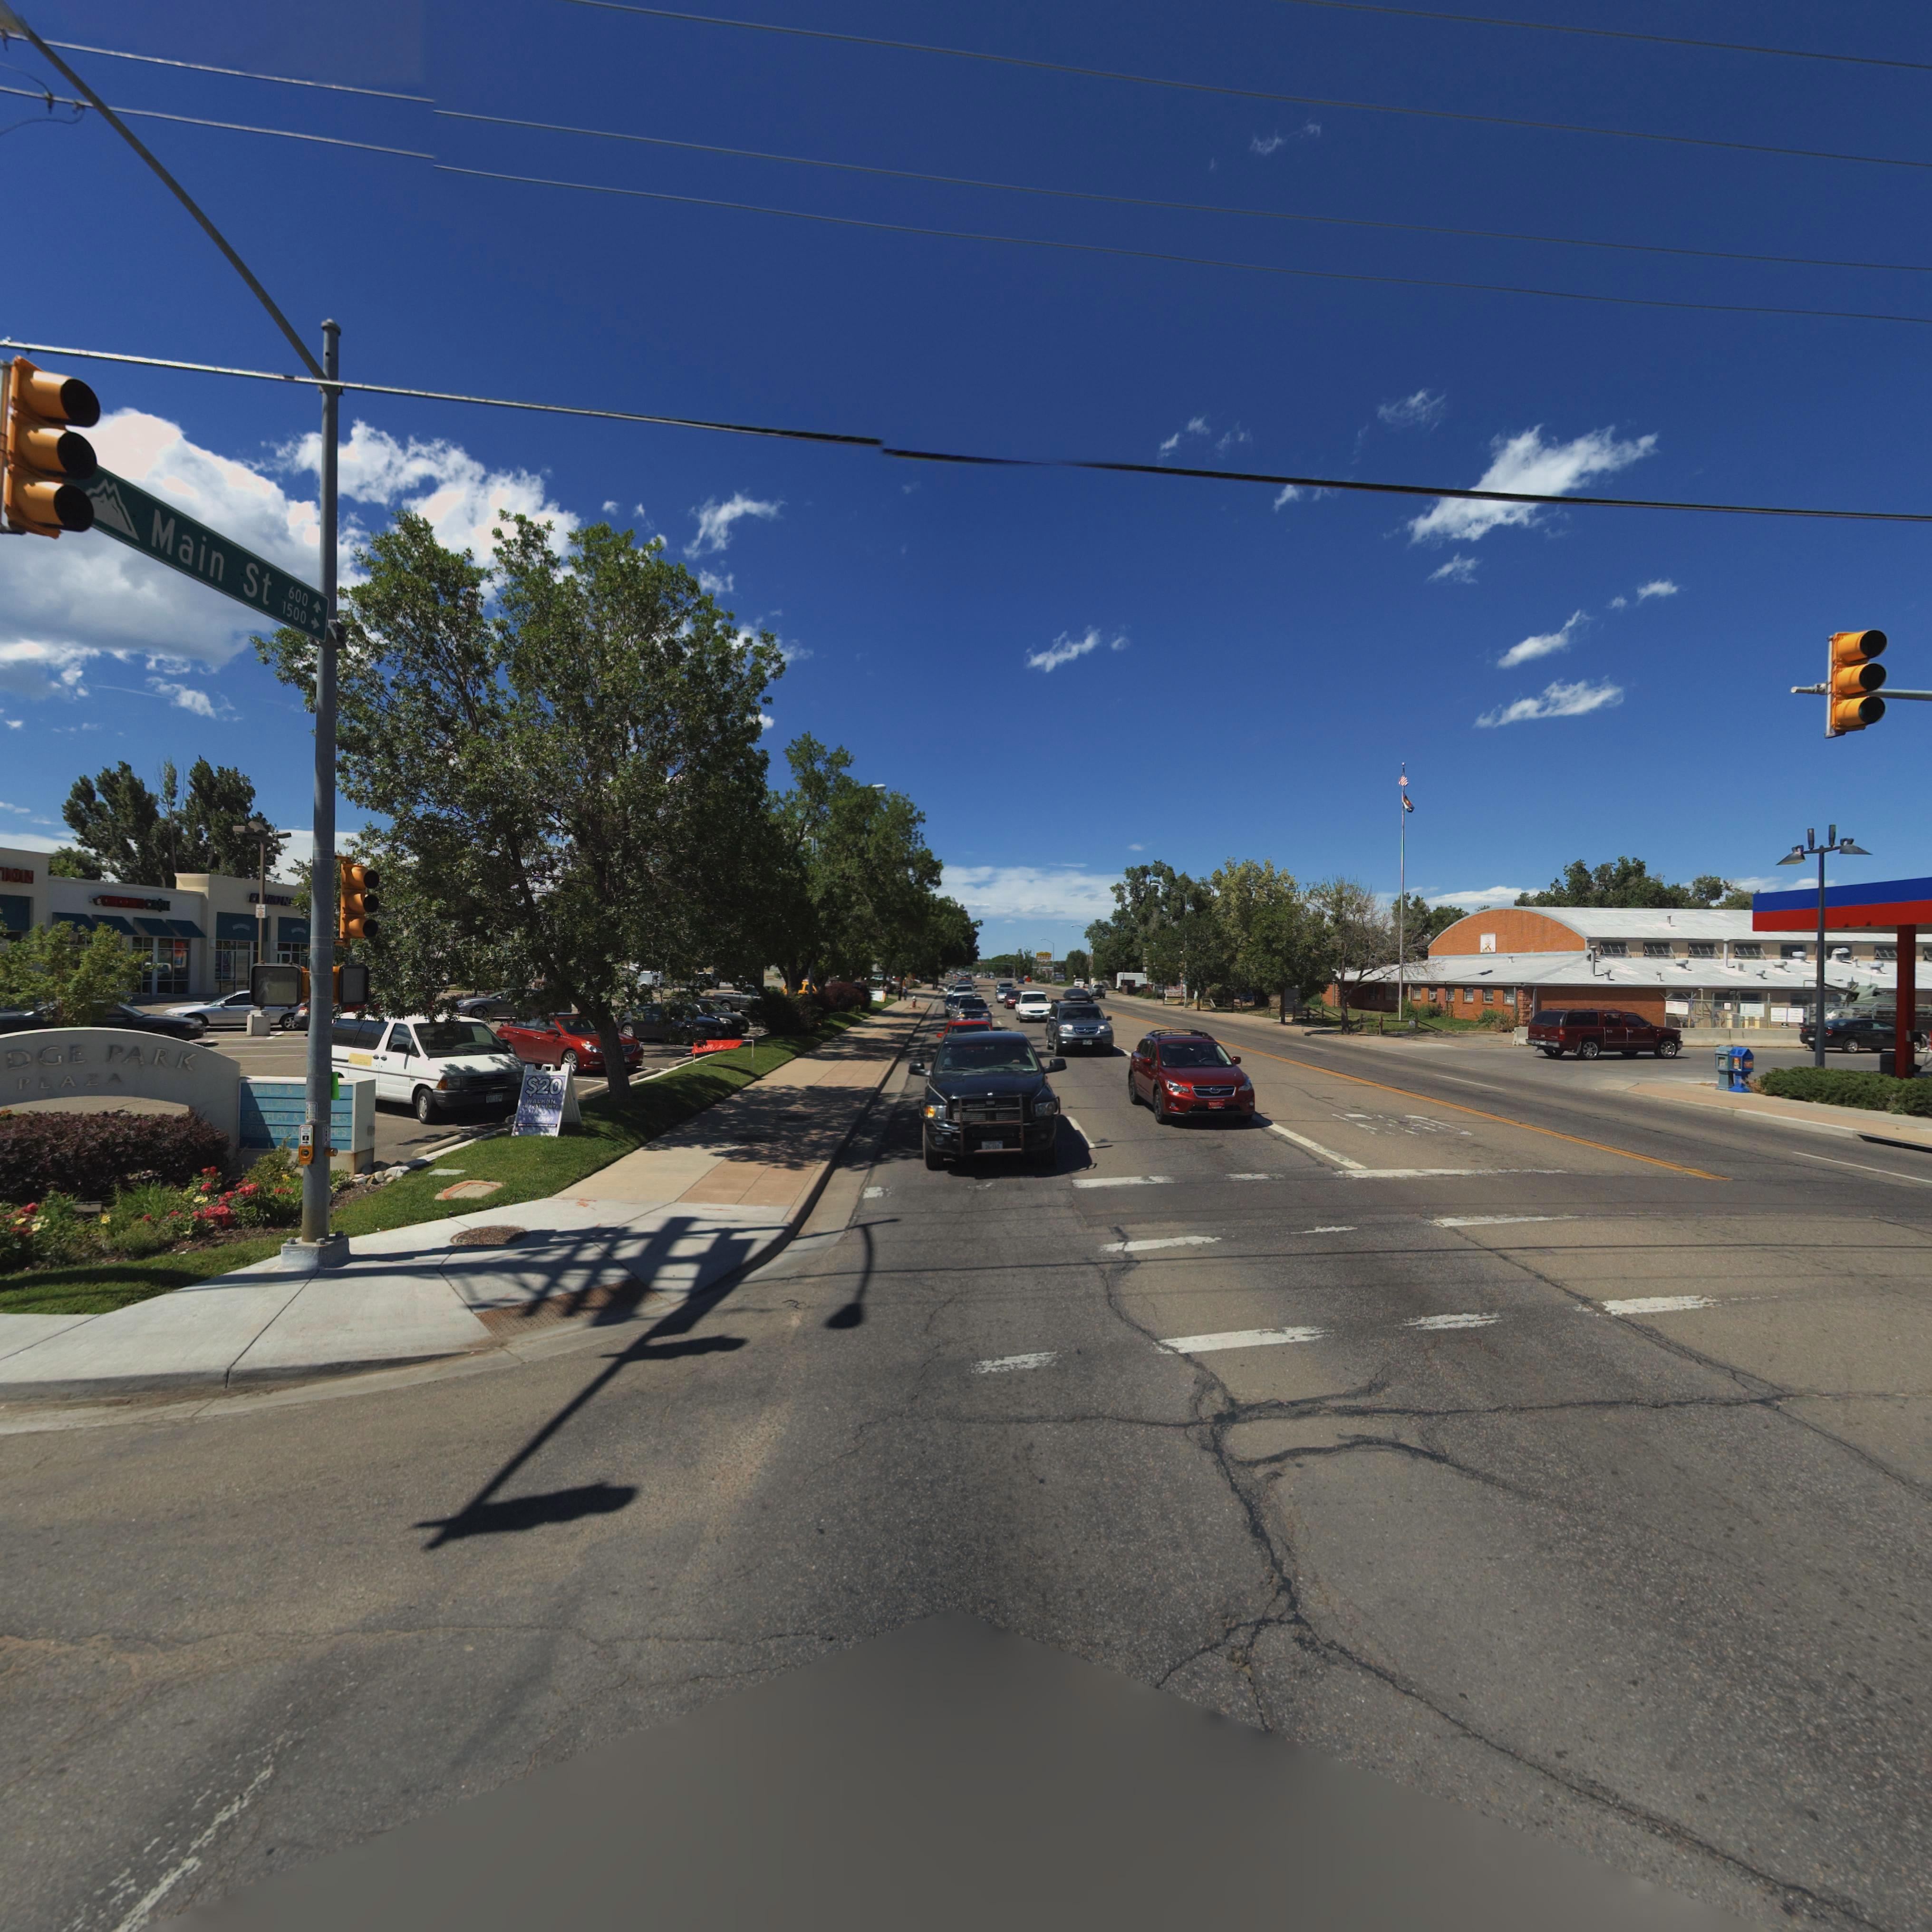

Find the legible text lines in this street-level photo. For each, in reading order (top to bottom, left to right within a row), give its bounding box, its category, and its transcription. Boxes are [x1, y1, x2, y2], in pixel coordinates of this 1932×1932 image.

[151, 508, 273, 606] StreetName: Main St
[289, 585, 308, 607] StreetNumberRange: 600
[282, 600, 320, 630] StreetNumberRange: 1500->
[2, 867, 33, 883] BusinessName: ****** *******ION
[249, 892, 305, 908] BusinessName: C*IRO N***
[265, 1098, 307, 1109] BusinessName: LORDS***
[522, 1110, 547, 1115] BusinessName: CHIRO
[532, 1115, 553, 1121] BusinessName: NOW!